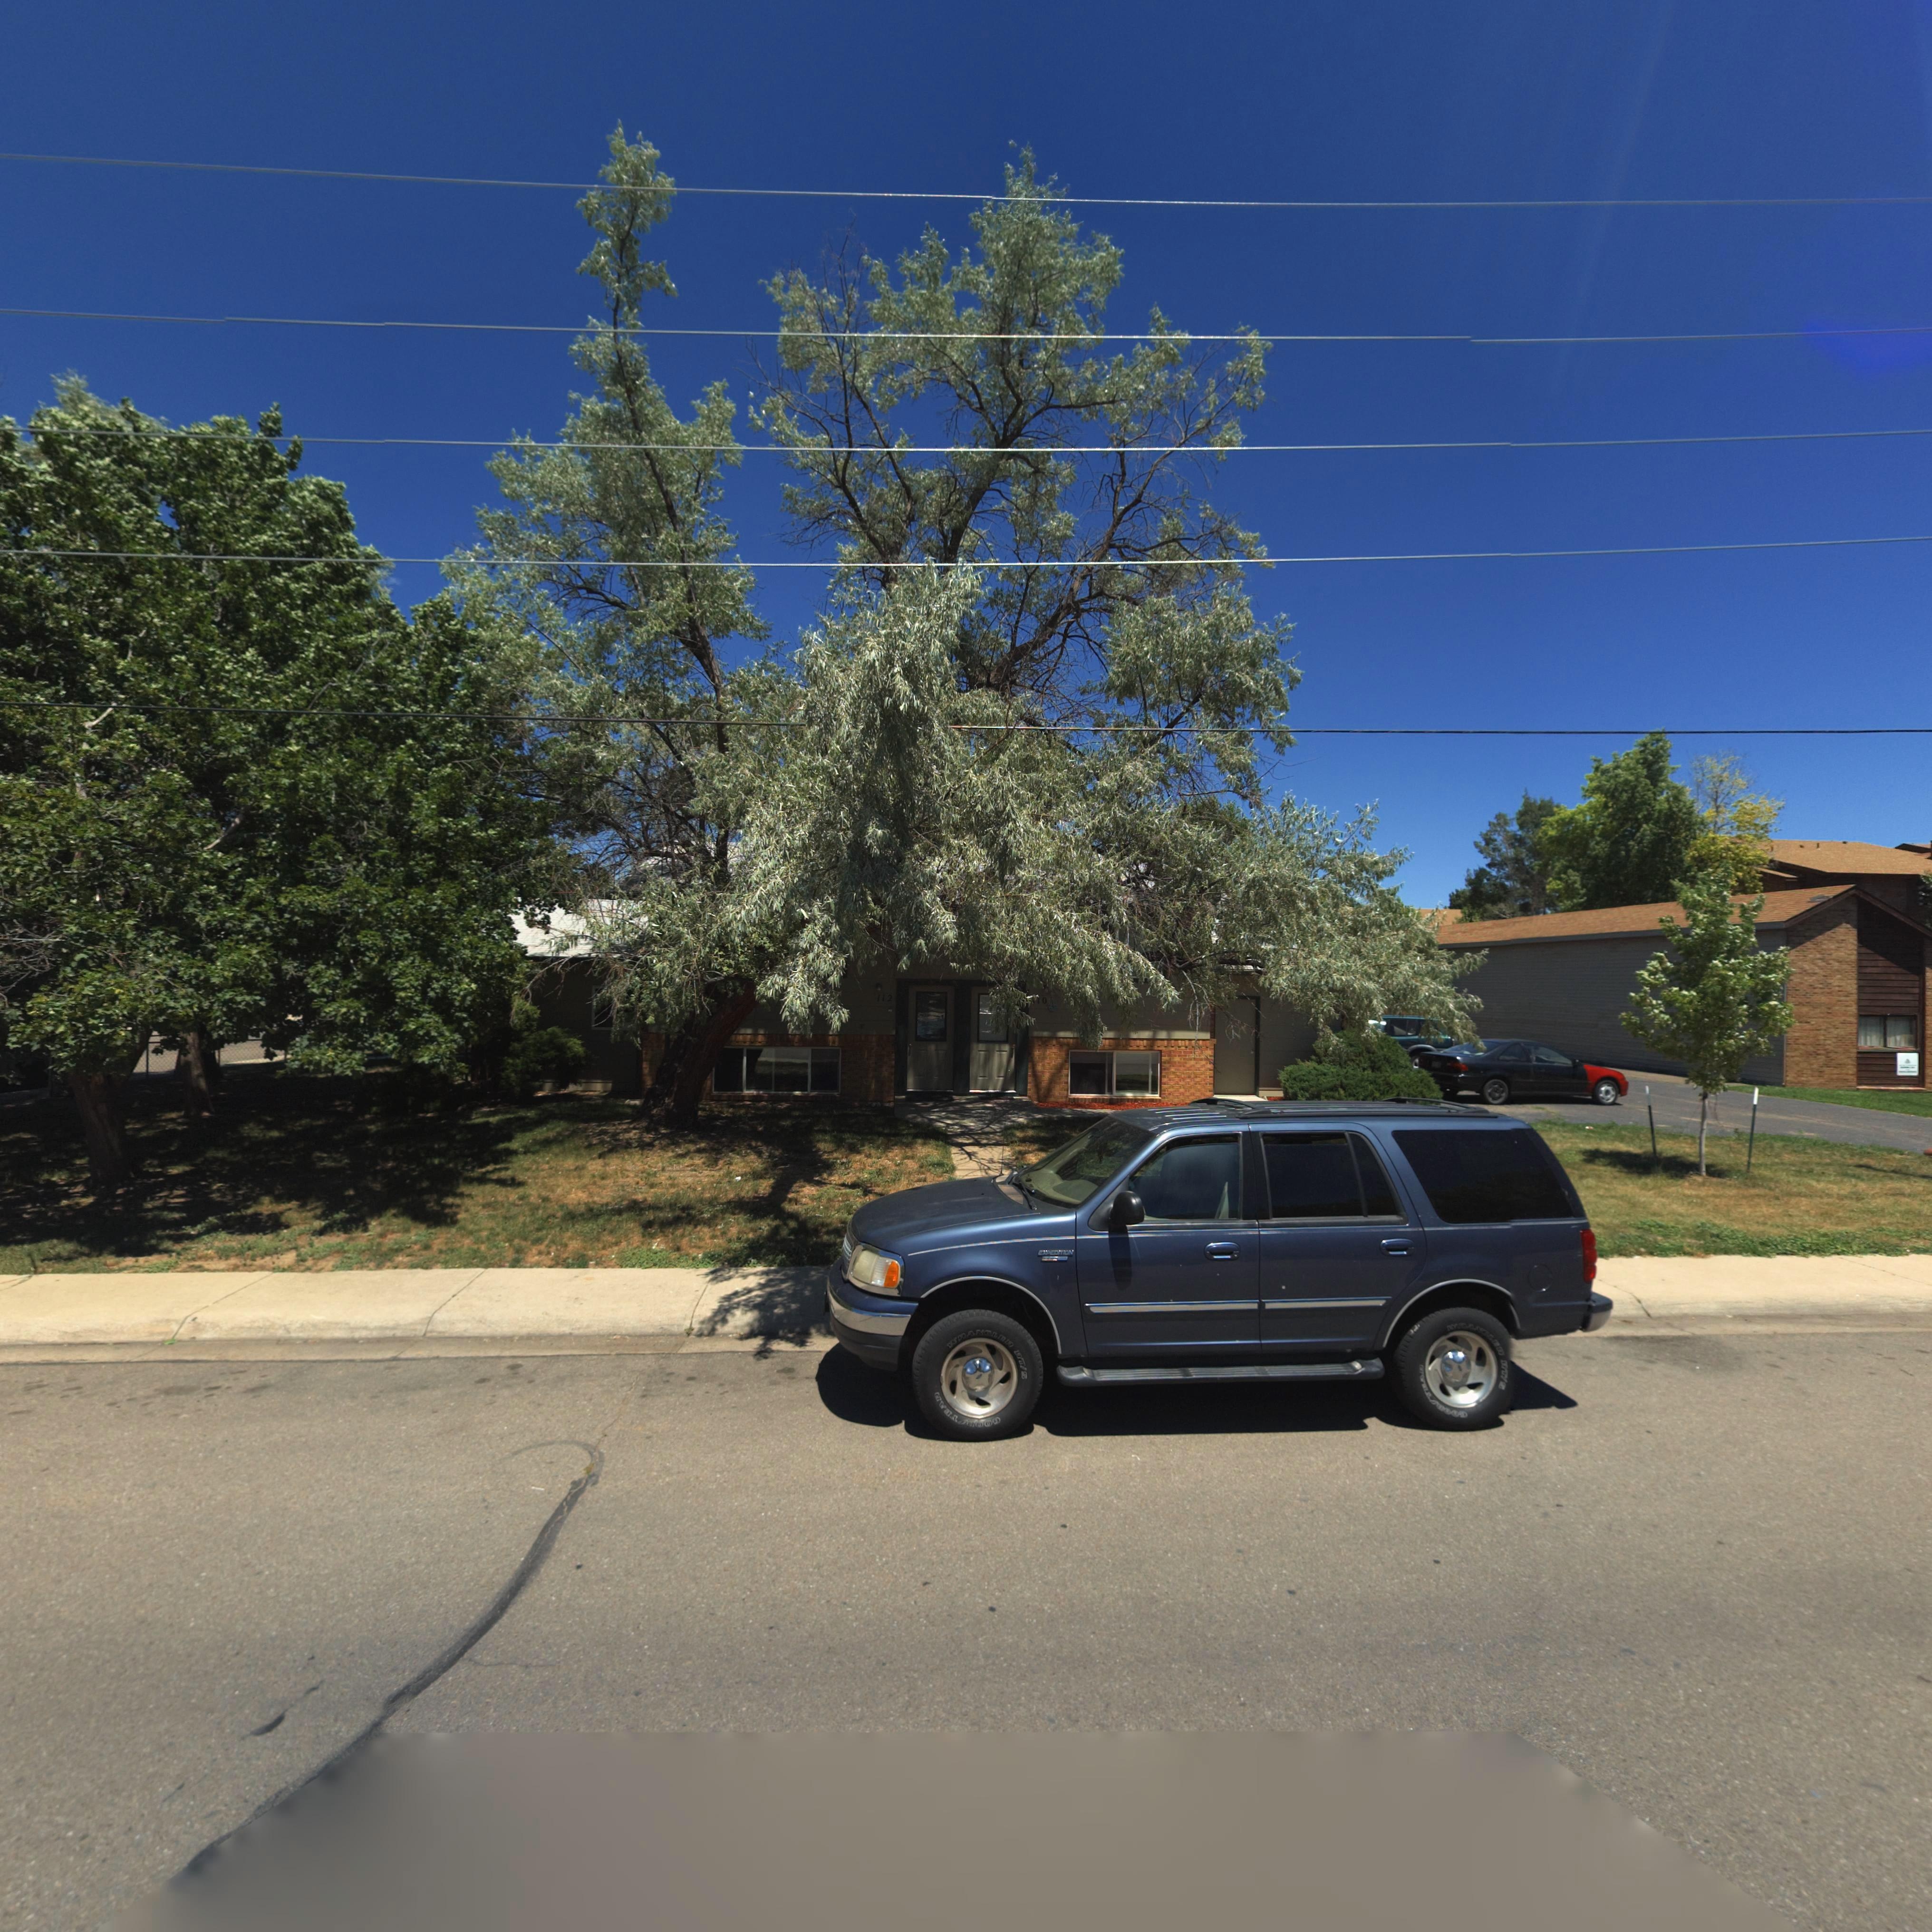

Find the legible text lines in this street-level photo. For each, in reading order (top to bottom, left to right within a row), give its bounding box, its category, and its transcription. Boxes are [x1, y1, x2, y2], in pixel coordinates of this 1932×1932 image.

[876, 994, 892, 1002] StreetNumber: 112